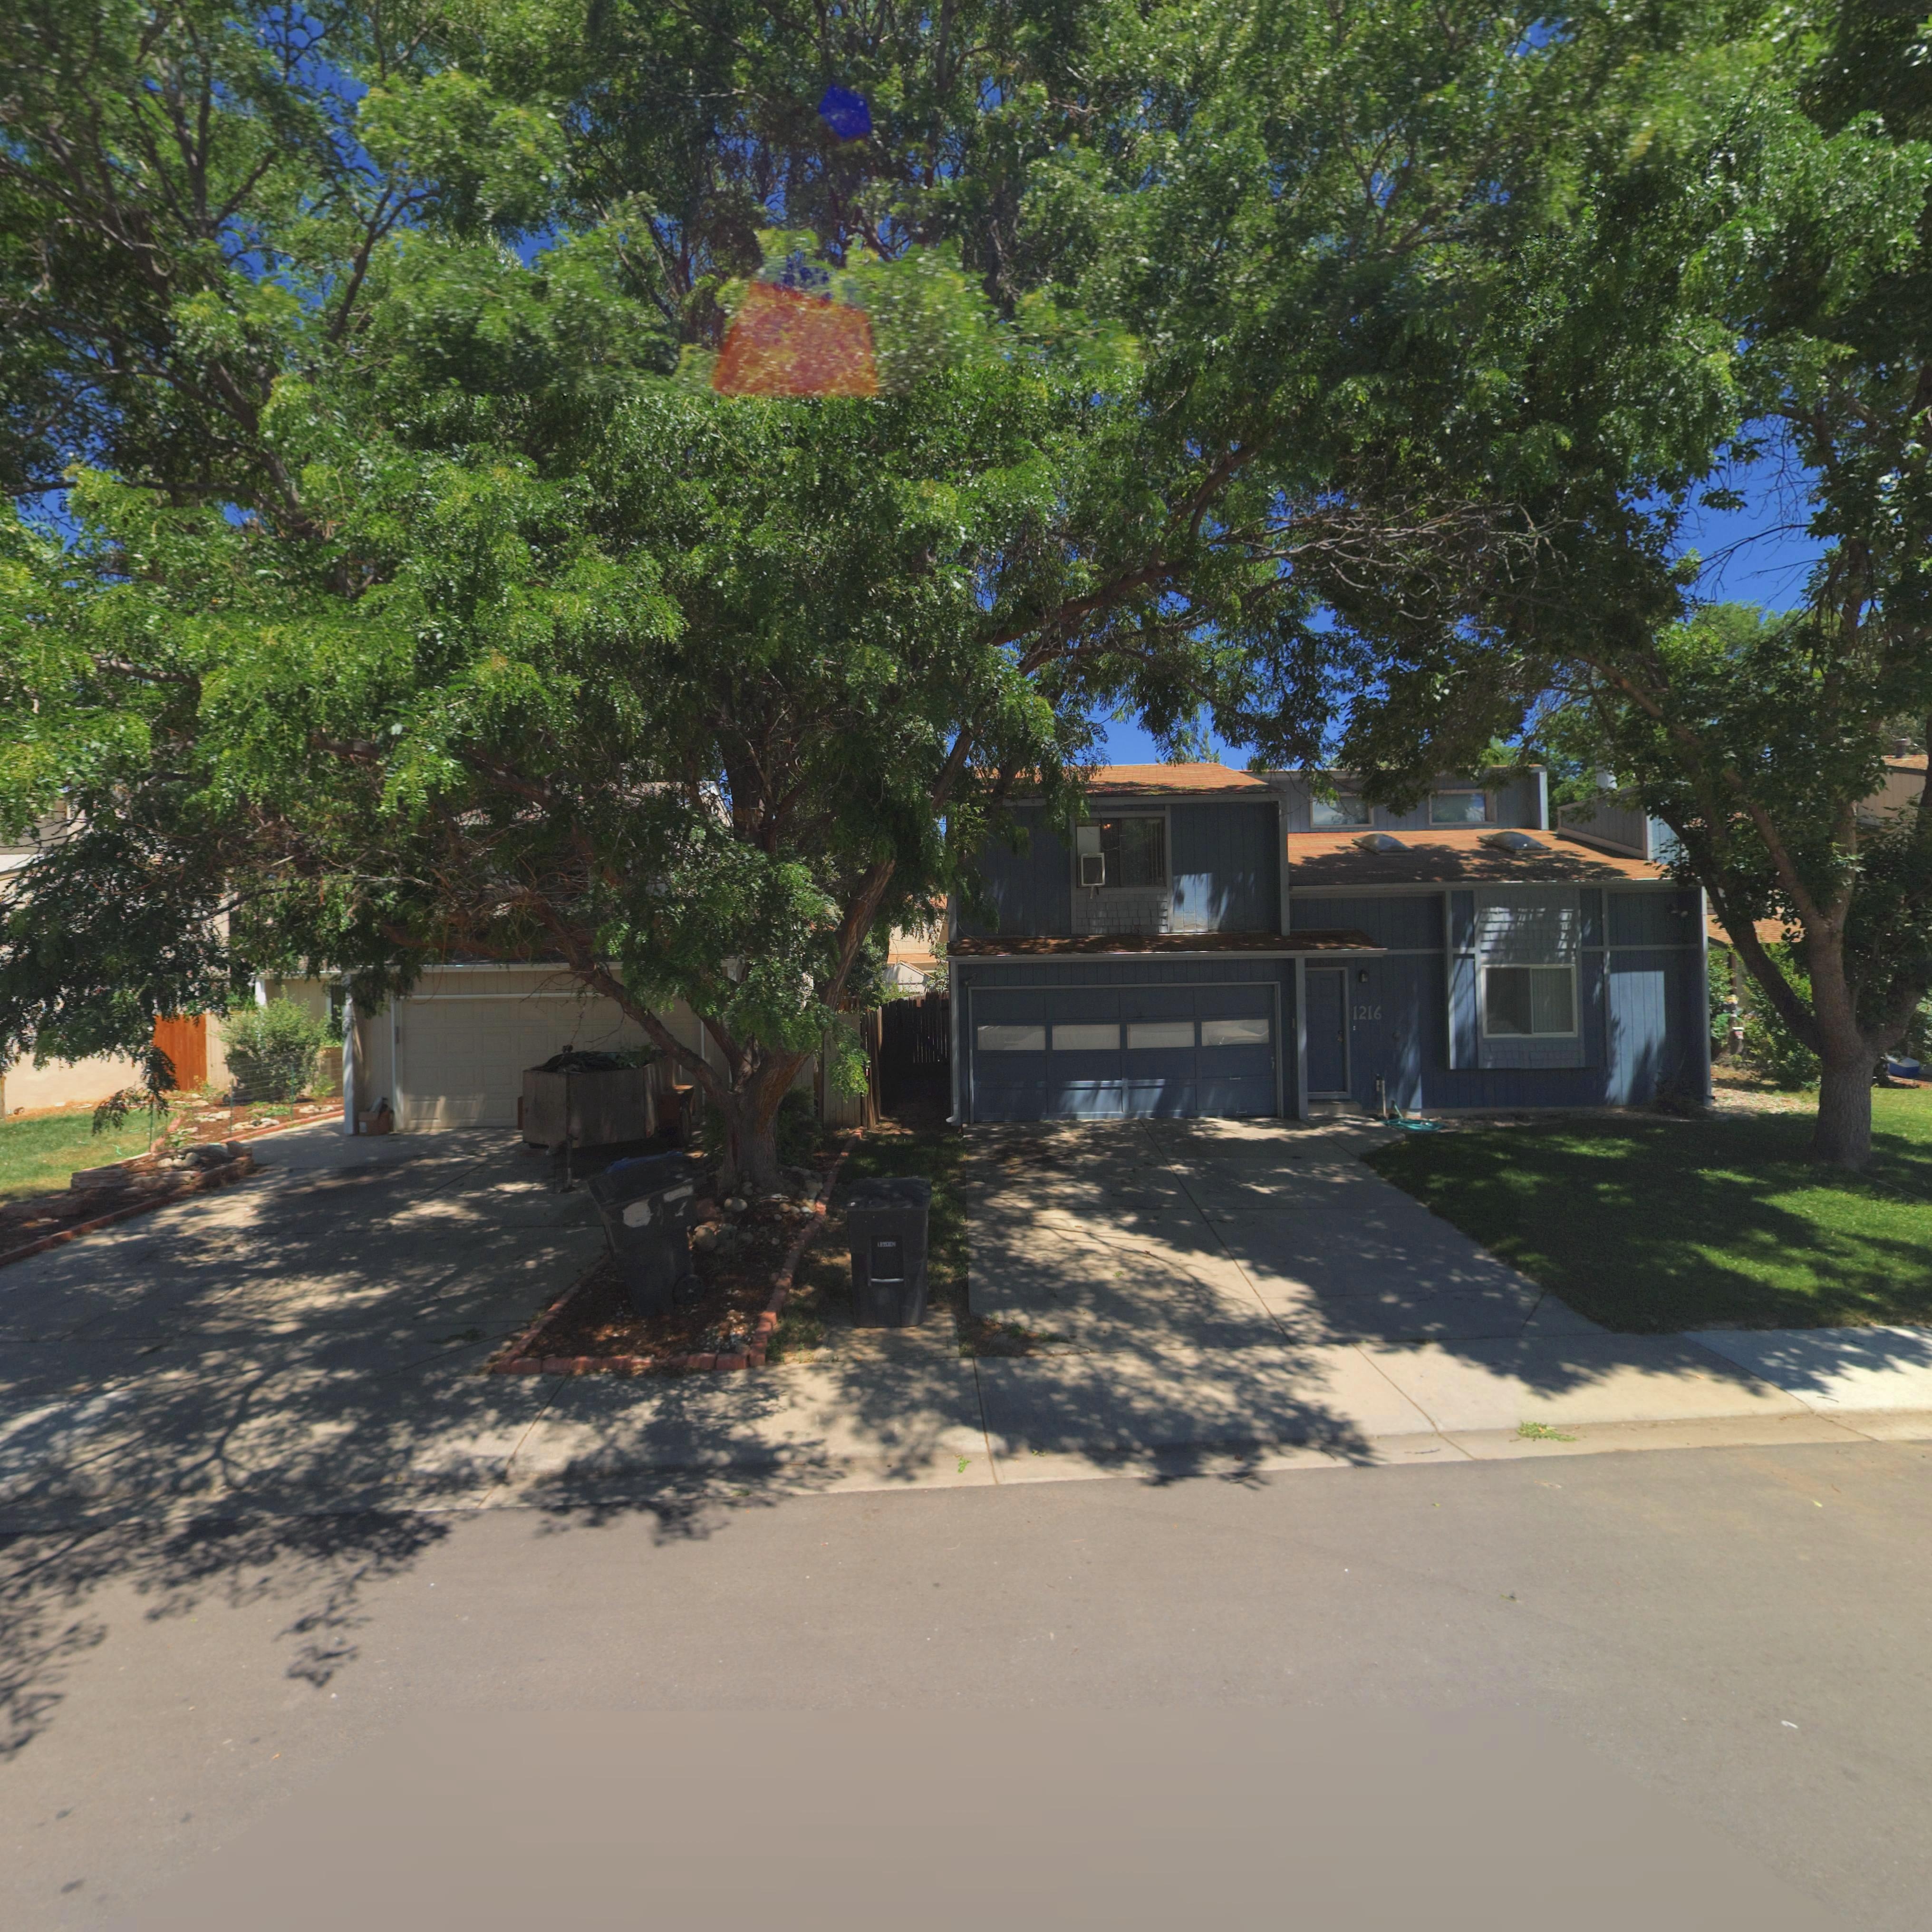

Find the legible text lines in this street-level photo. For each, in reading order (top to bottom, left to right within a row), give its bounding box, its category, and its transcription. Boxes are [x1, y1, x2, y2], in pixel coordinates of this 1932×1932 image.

[1353, 1005, 1382, 1021] StreetNumber: 1216